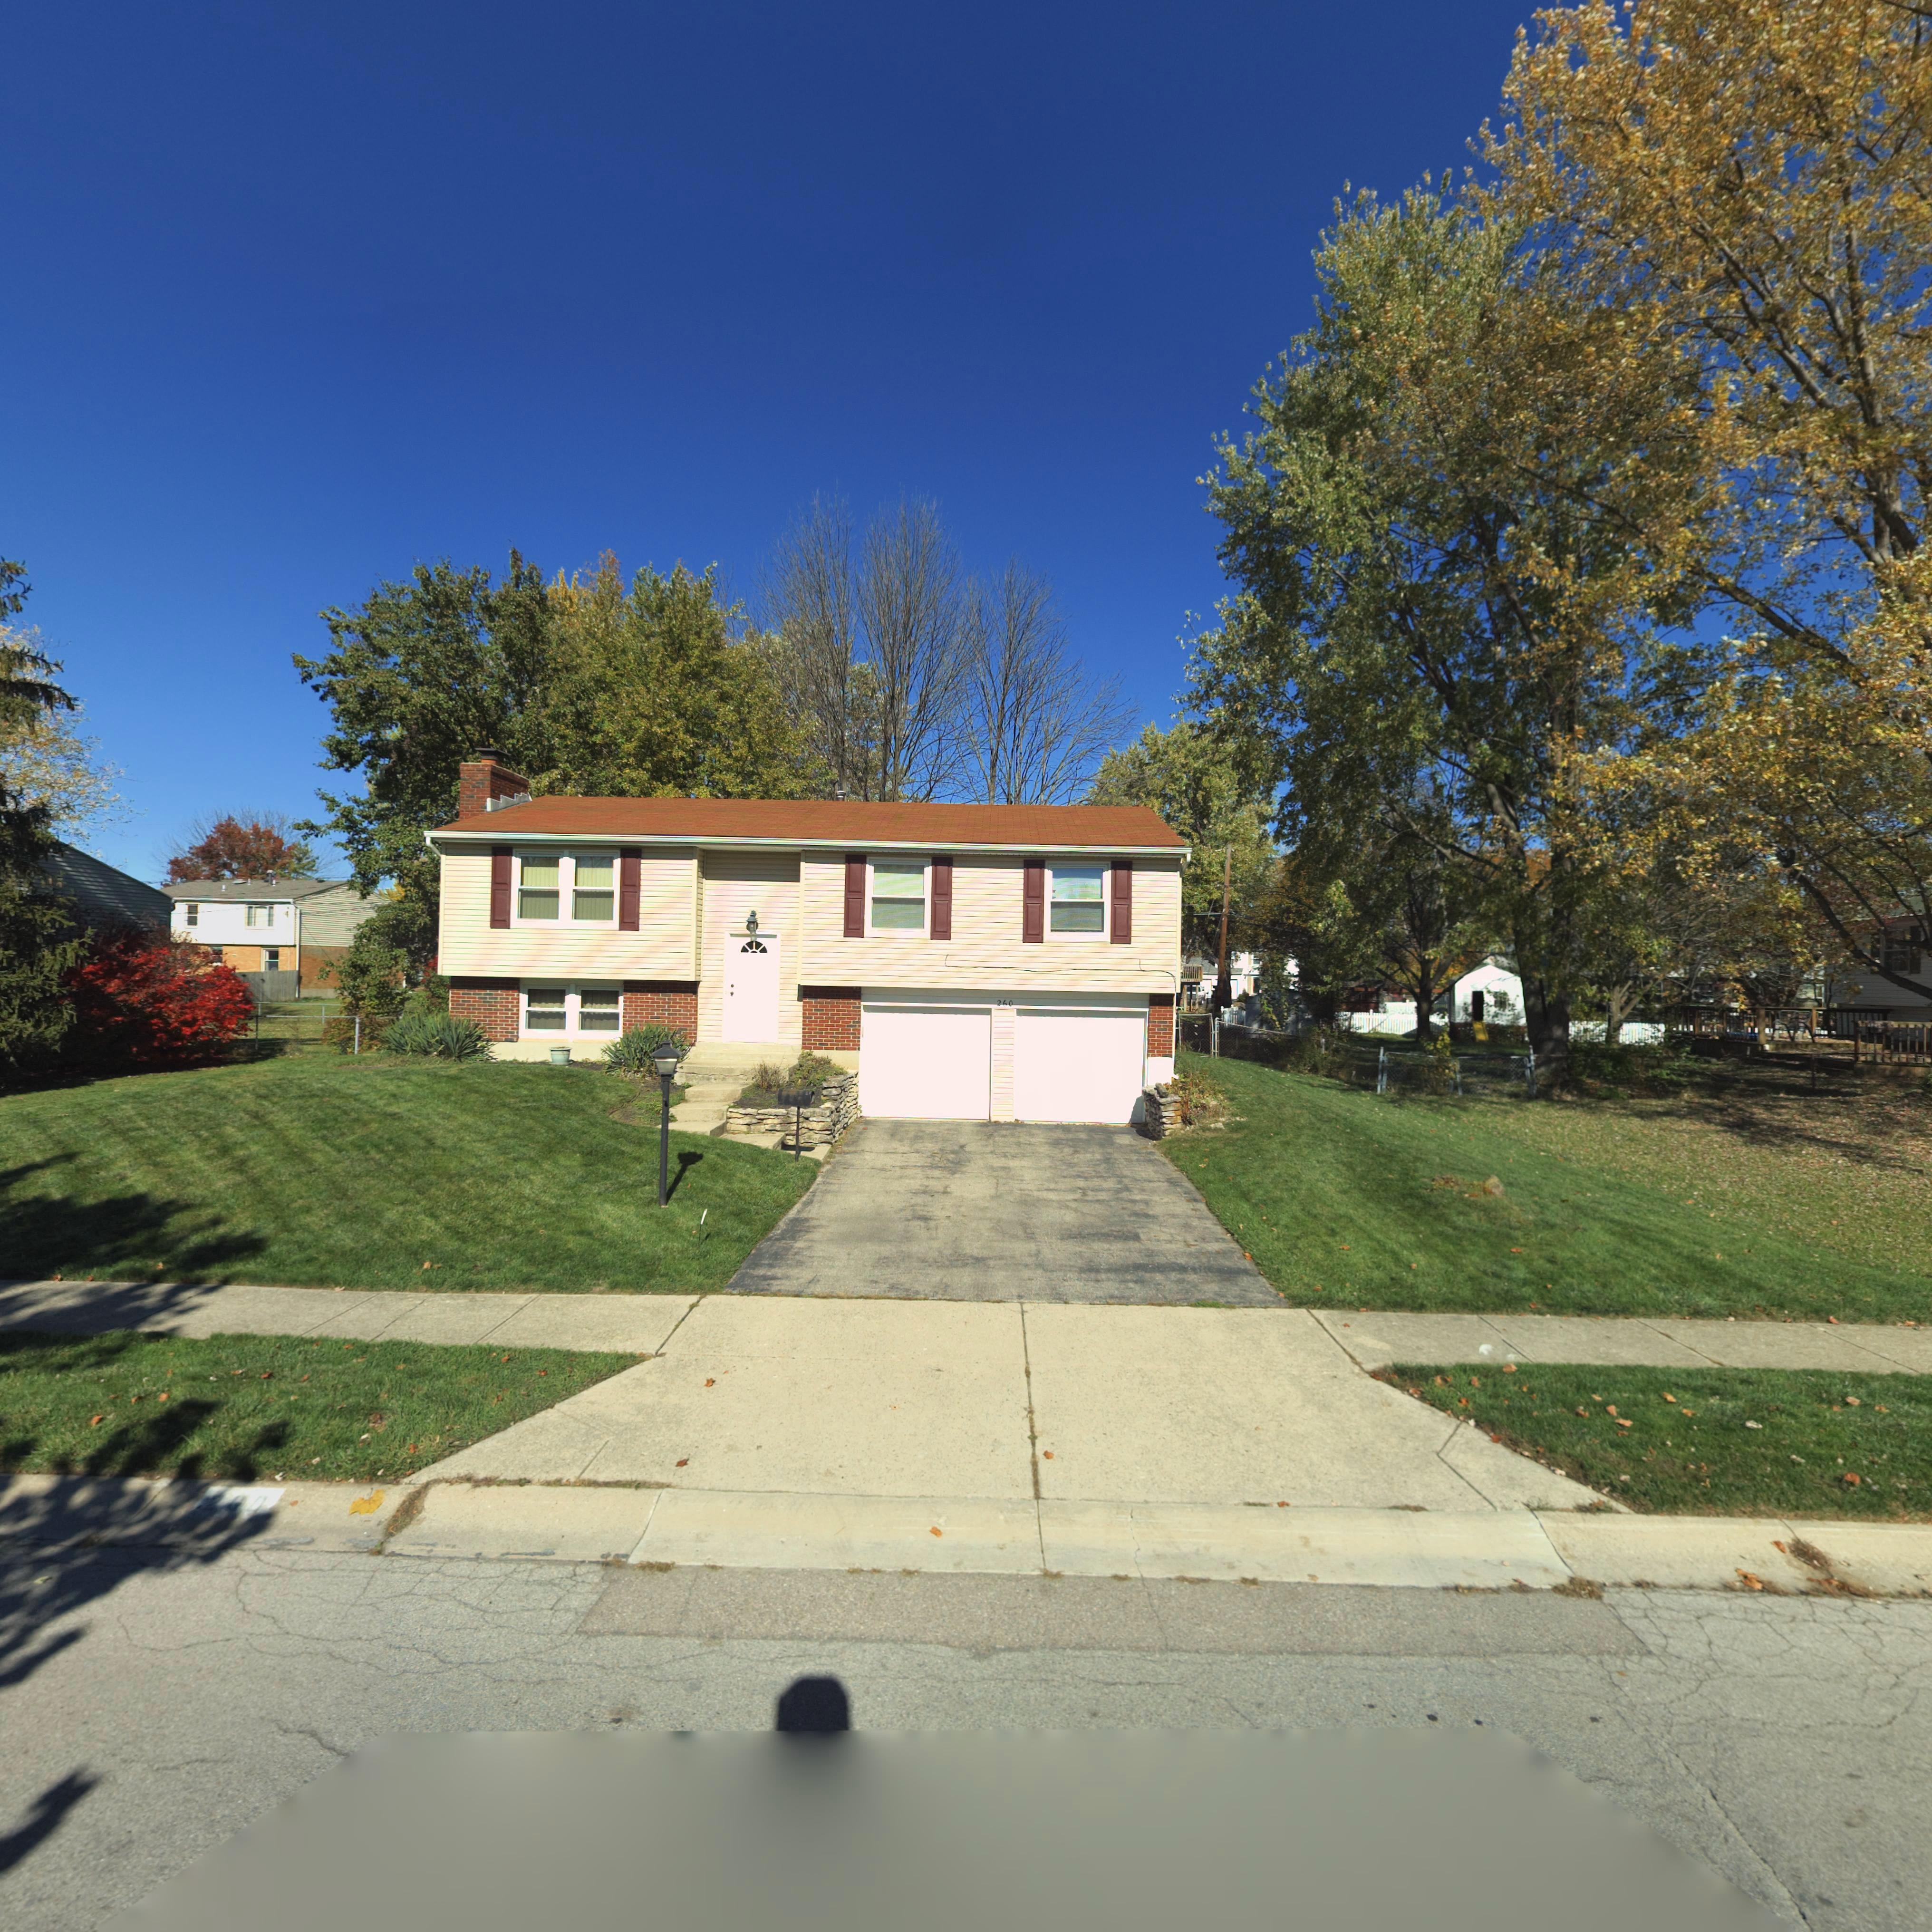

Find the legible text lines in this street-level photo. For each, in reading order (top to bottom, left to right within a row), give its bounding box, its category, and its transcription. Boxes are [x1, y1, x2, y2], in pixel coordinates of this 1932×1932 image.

[996, 999, 1014, 1007] StreetNumber: 260